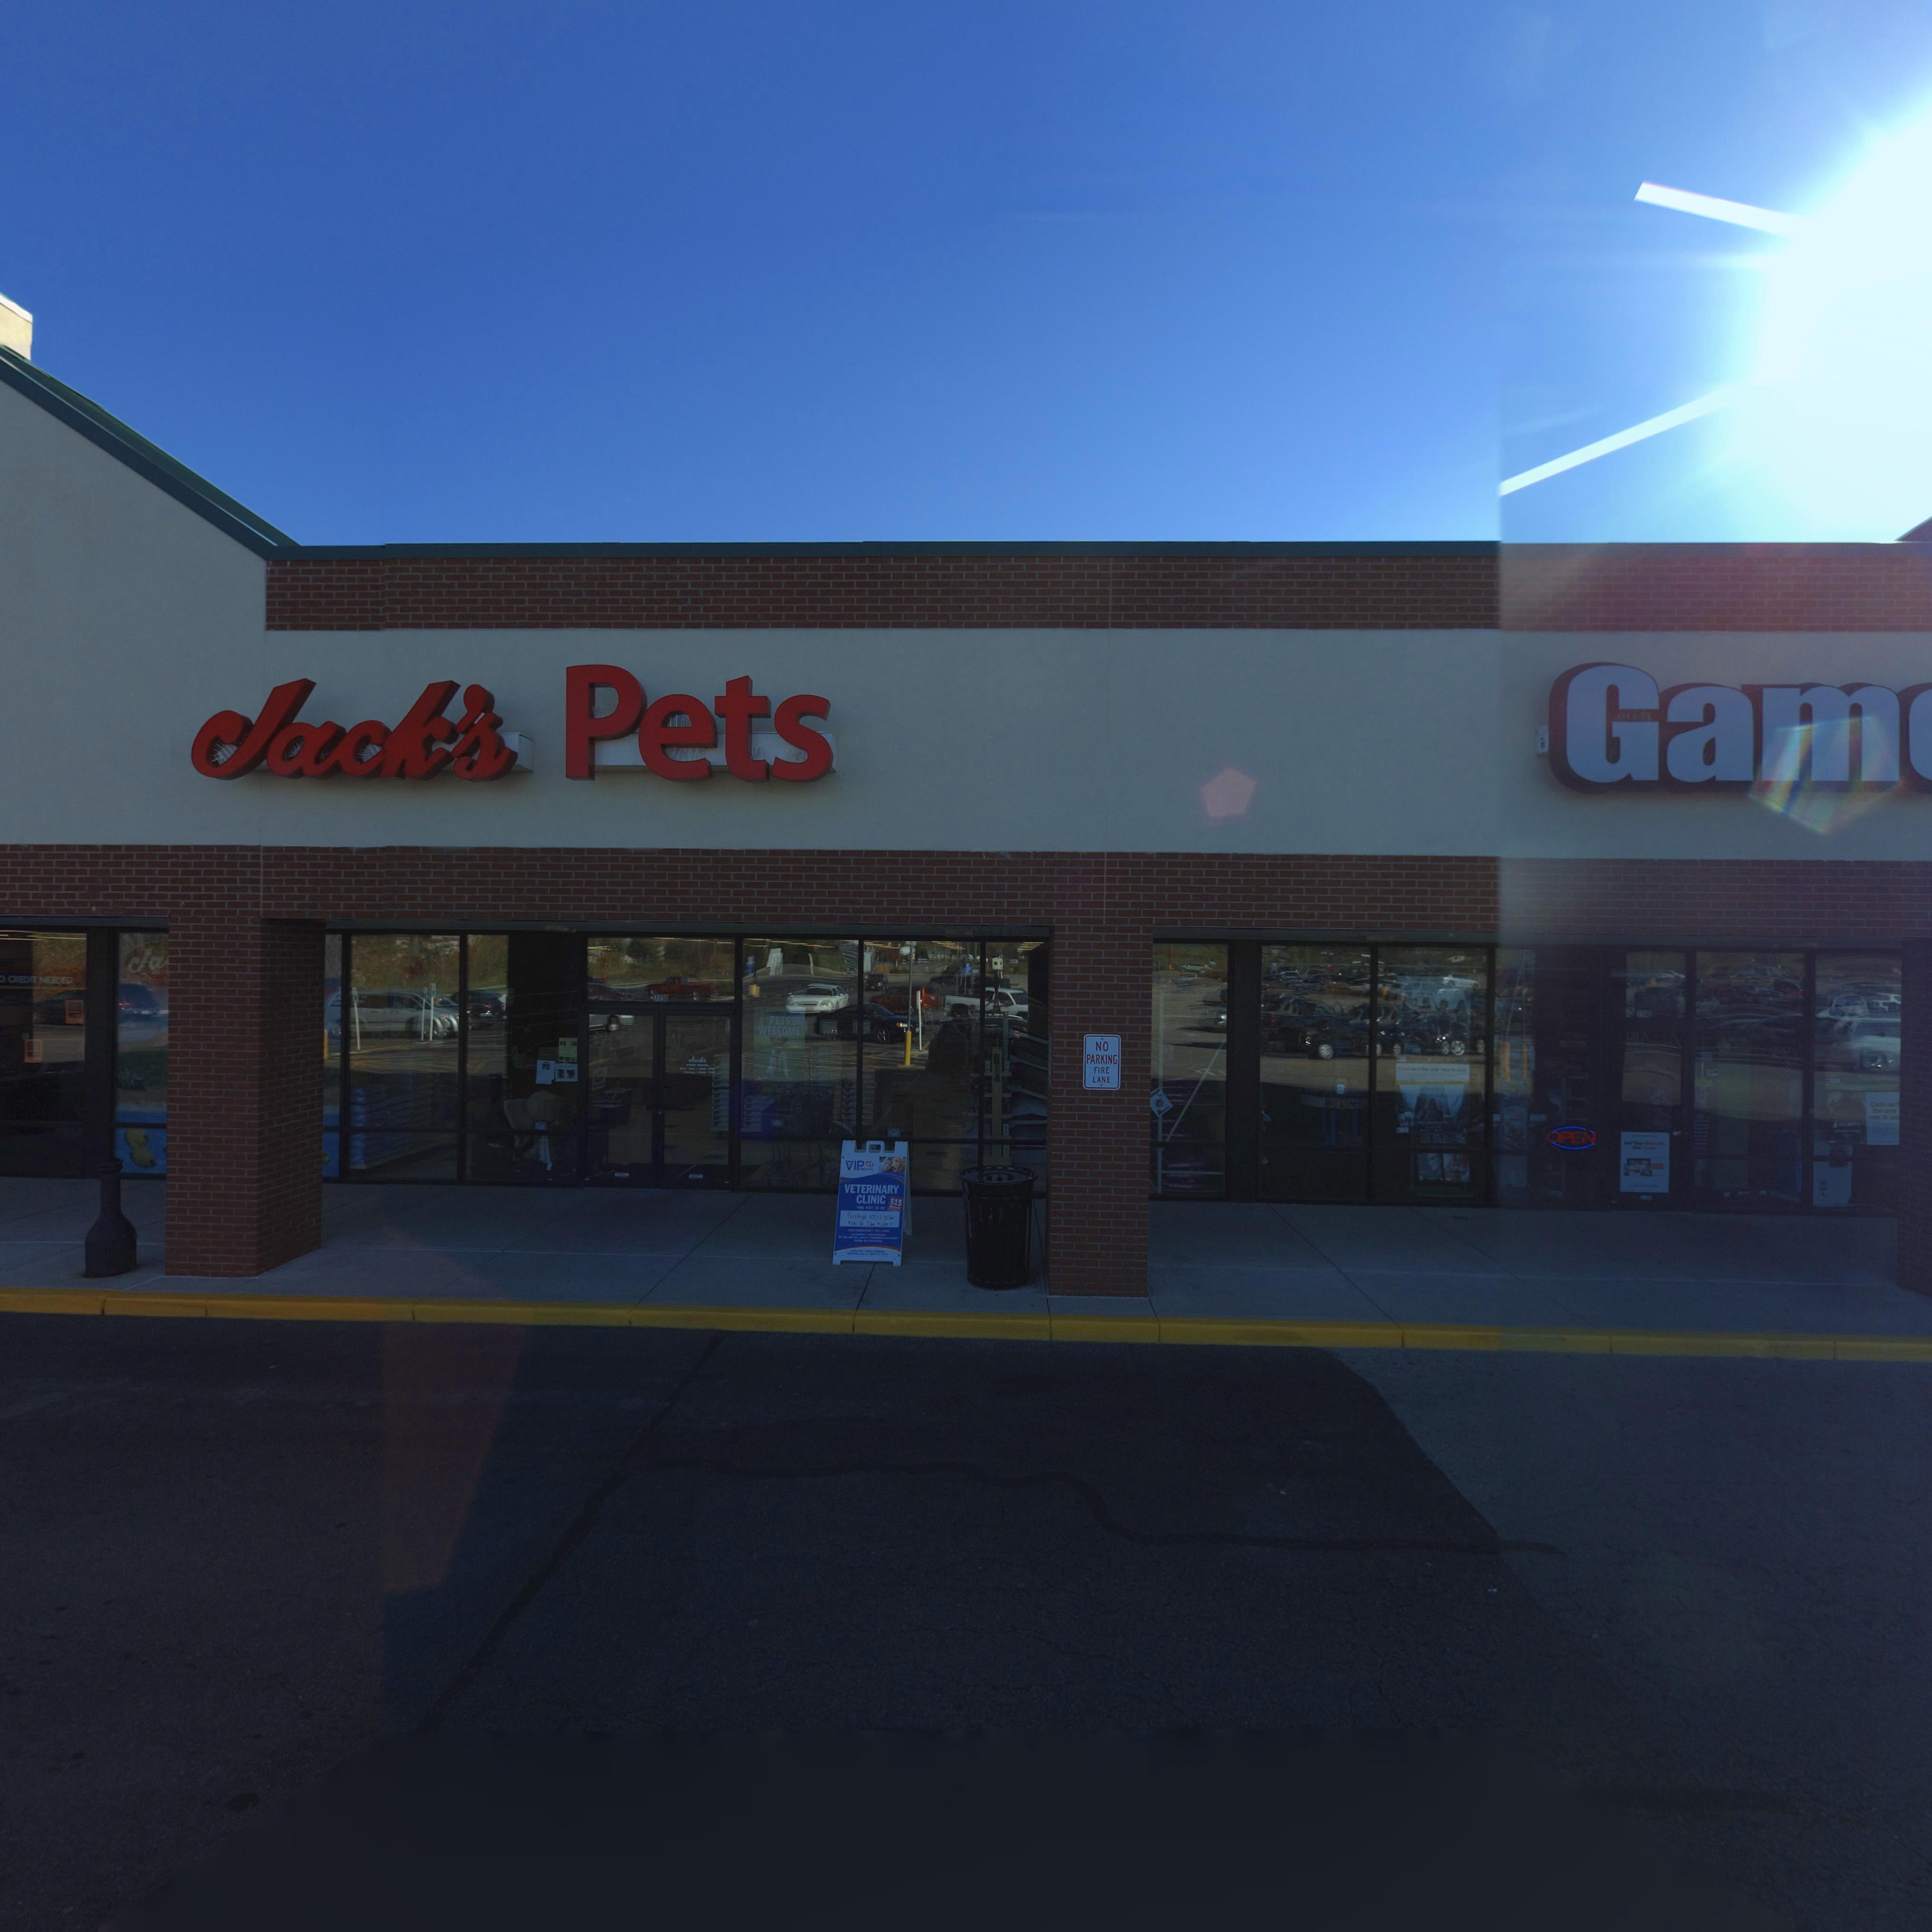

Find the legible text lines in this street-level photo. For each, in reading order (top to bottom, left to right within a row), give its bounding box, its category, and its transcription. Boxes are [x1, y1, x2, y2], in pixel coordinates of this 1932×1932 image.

[188, 662, 835, 784] BusinessName: Jack's Pets
[1562, 661, 1904, 786] BusinessName: Gam
[126, 945, 166, 975] BusinessName: Ja
[654, 994, 669, 1002] StreetNumber: 7750
[1637, 1009, 1653, 1019] StreetNumber: 77**
[687, 1055, 707, 1063] BusinessName: Jack's
[1544, 1130, 1596, 1144] None: OPEN